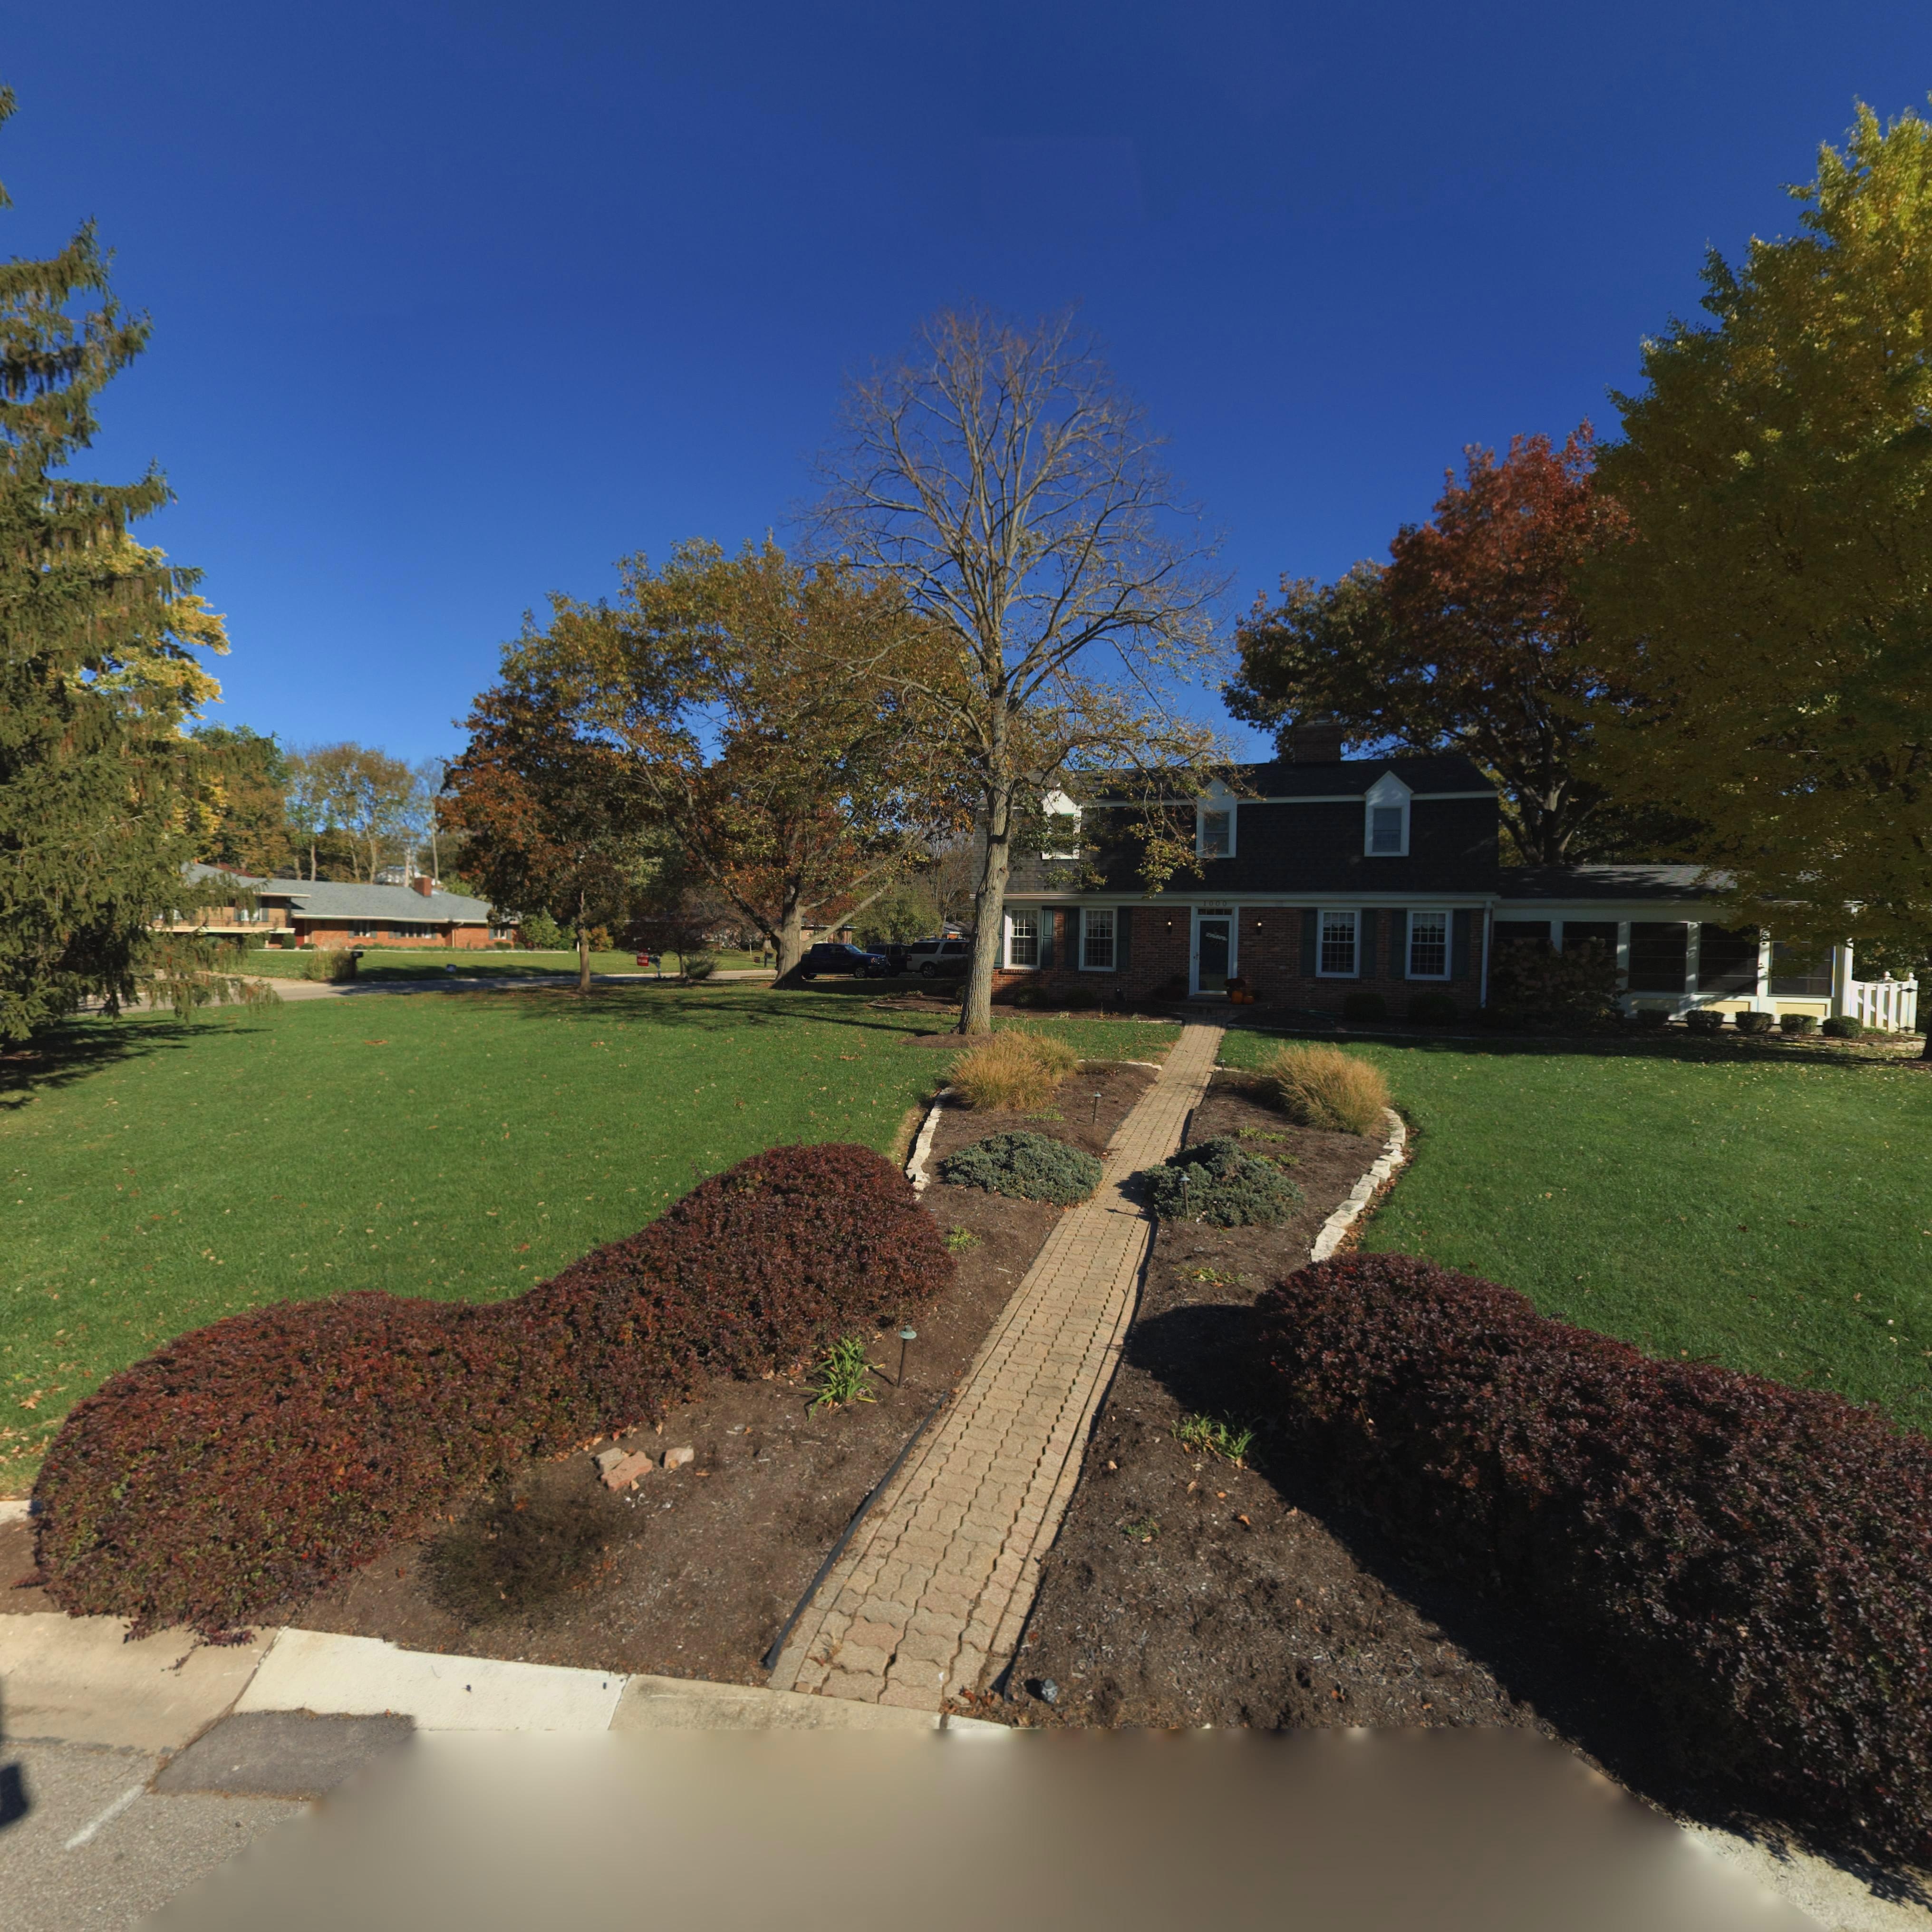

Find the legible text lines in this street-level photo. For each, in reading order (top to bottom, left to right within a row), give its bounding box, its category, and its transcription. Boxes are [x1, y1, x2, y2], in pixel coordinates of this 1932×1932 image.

[1202, 900, 1228, 907] StreetNumber: 1000